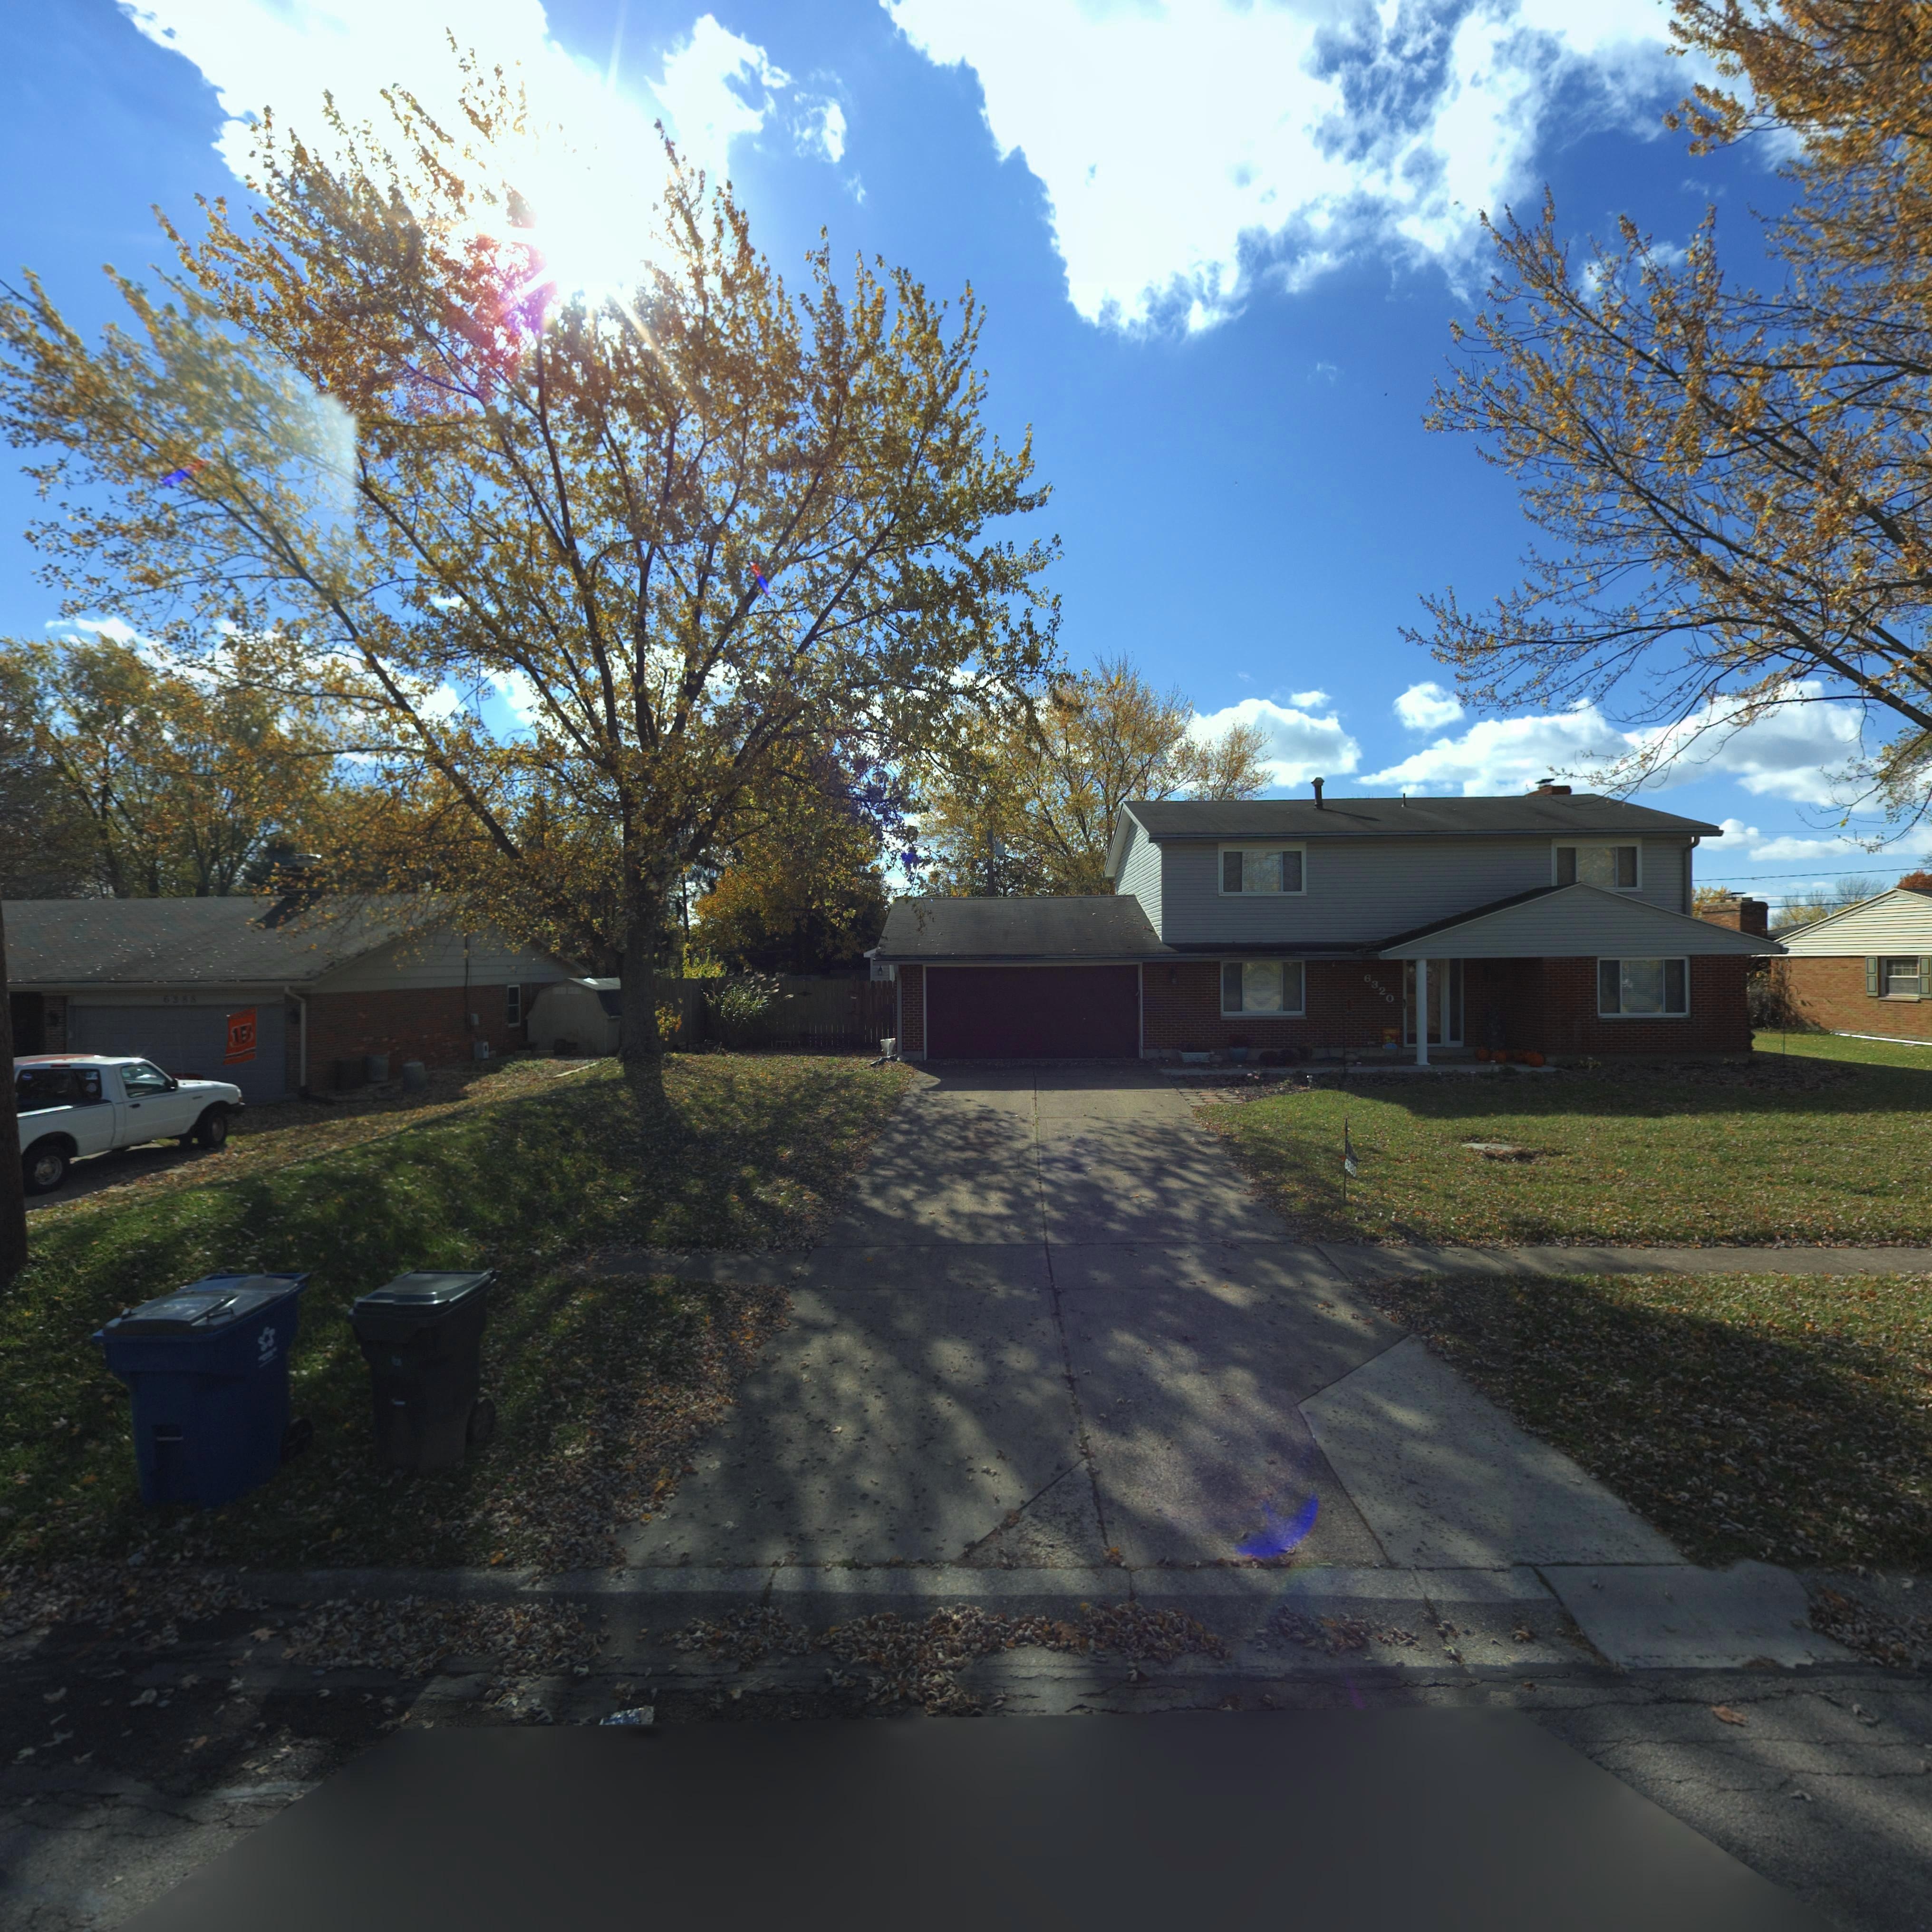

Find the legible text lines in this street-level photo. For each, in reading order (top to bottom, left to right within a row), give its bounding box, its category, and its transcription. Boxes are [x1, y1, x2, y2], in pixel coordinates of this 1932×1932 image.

[161, 995, 197, 1004] StreetNumber: 63**
[1363, 974, 1395, 1003] StreetNumber: 6320
[1344, 1157, 1357, 1179] StreetNumber: 6320